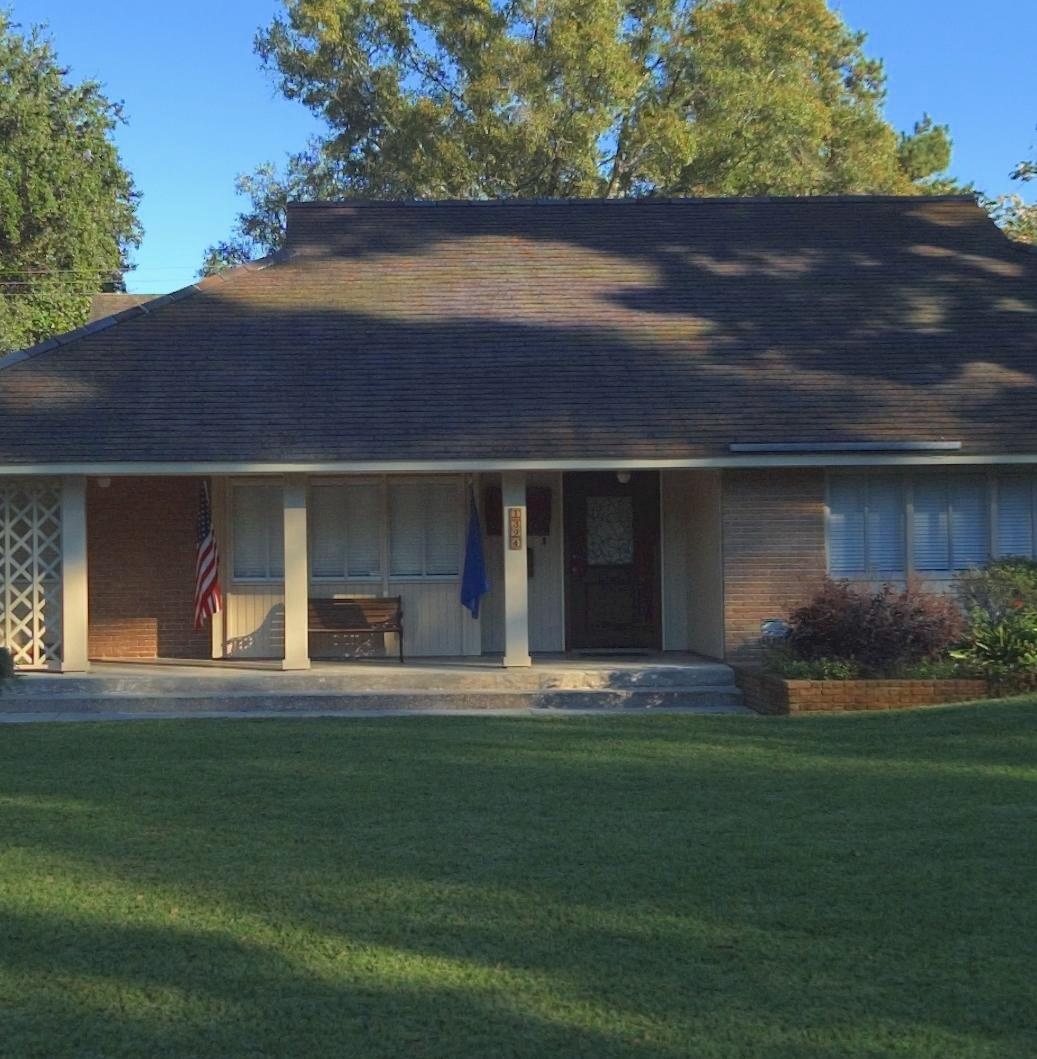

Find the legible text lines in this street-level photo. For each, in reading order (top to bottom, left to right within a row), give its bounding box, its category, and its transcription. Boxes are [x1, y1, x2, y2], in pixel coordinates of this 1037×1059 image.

[510, 508, 521, 549] StreetNumber: 1324